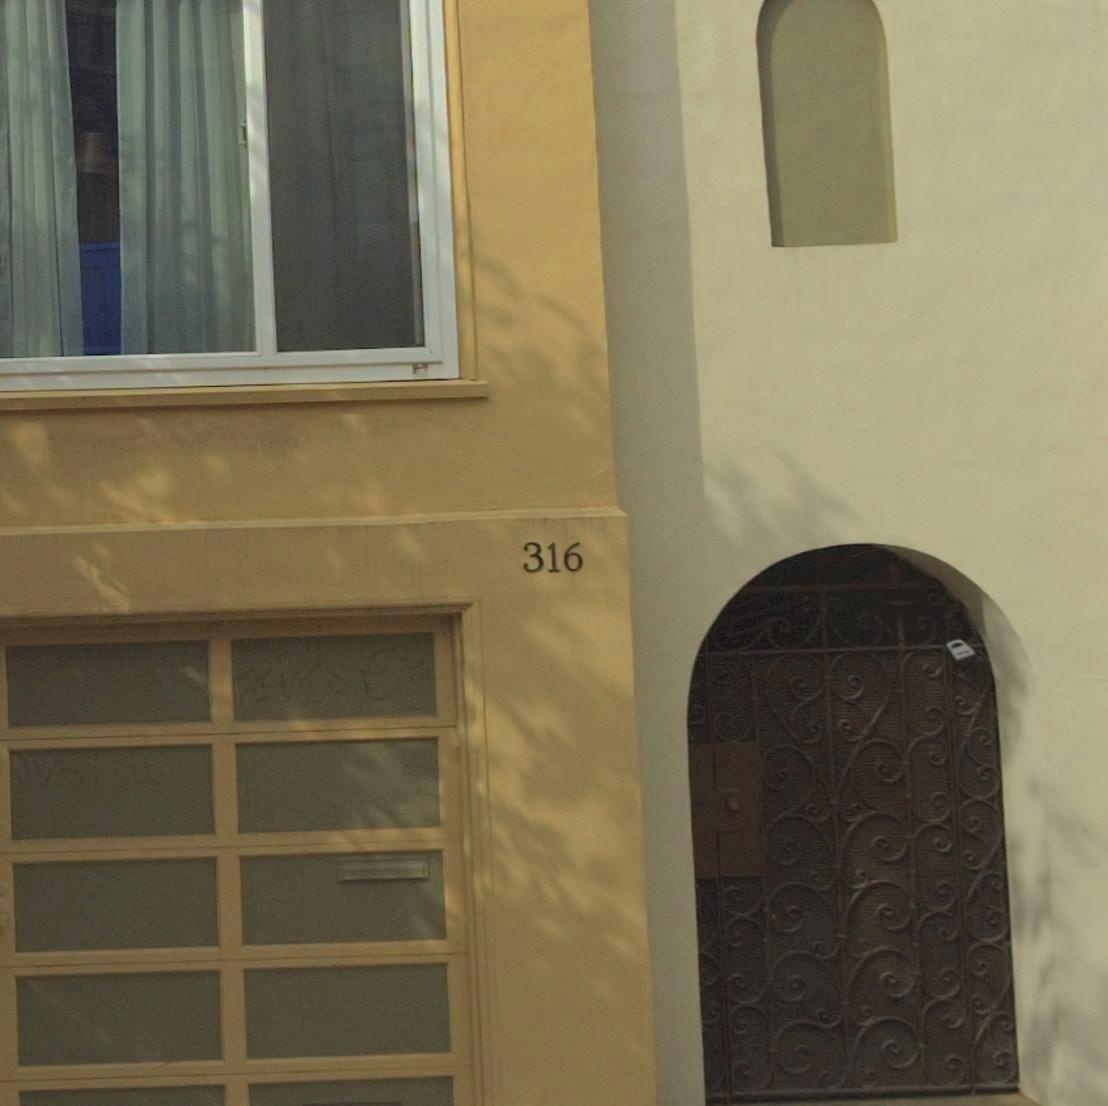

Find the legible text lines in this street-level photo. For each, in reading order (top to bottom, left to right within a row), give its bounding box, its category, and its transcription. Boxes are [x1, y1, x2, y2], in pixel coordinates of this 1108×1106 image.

[521, 540, 586, 575] StreetNumber: 316